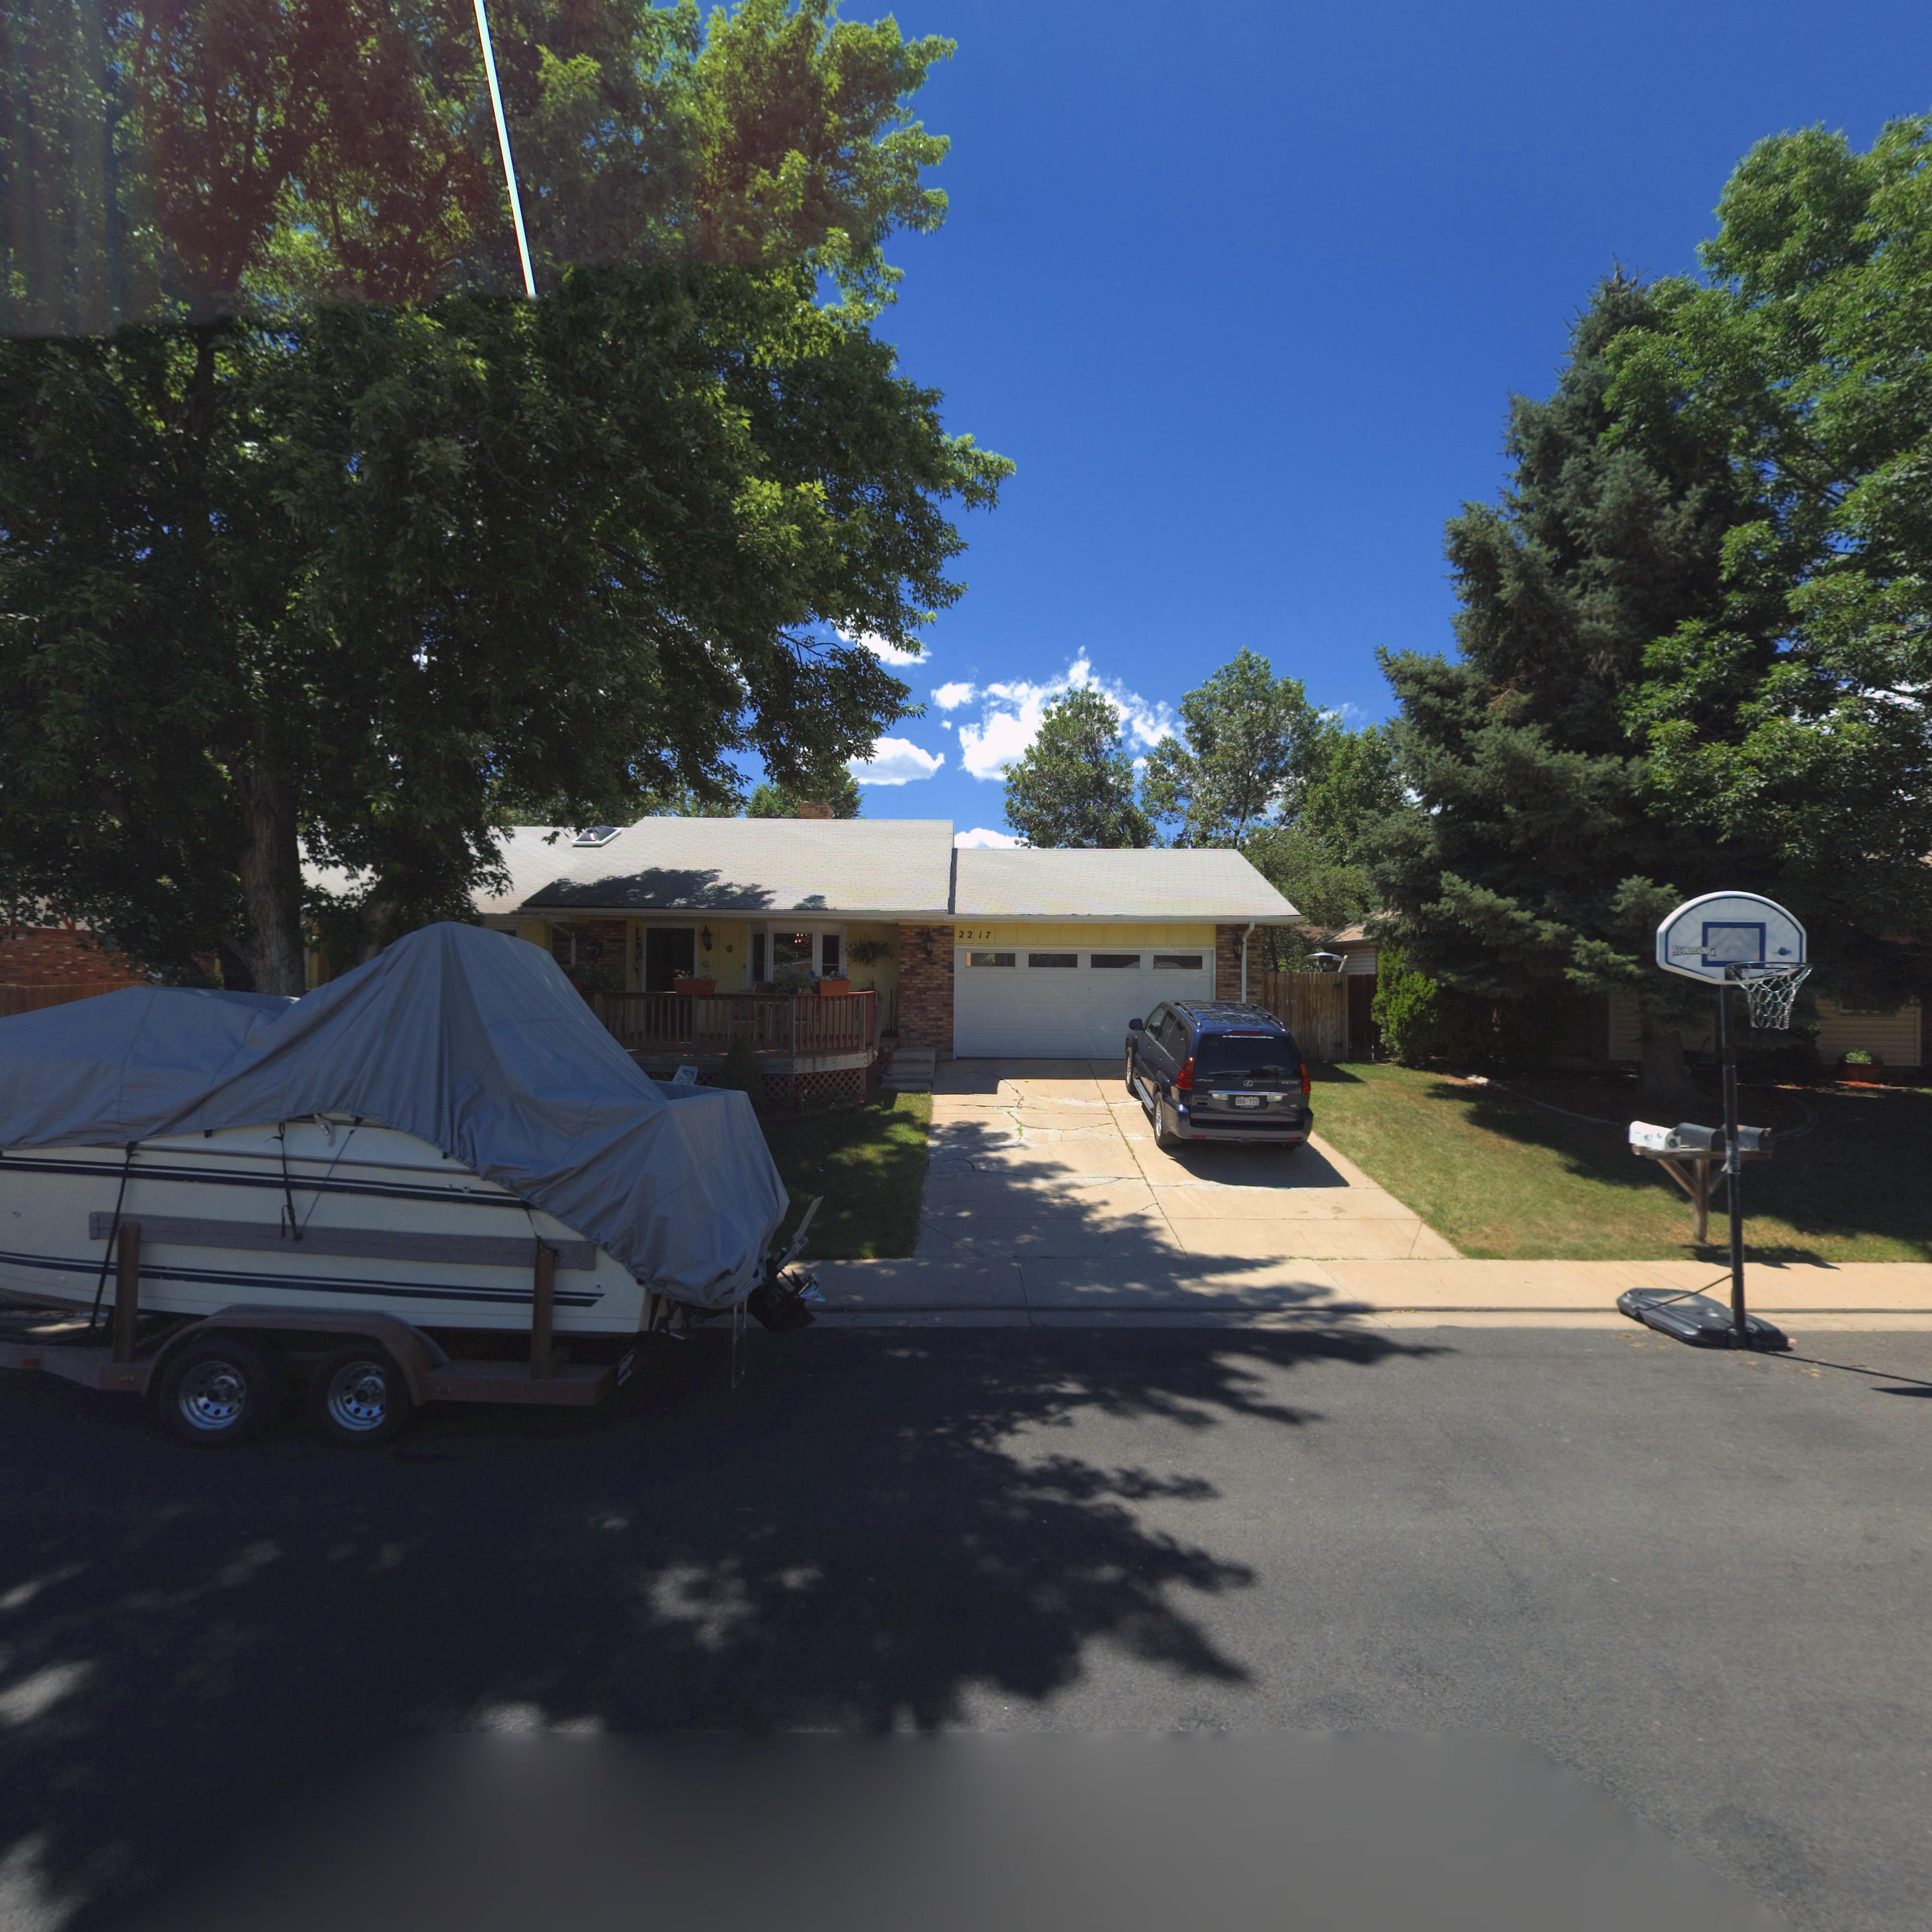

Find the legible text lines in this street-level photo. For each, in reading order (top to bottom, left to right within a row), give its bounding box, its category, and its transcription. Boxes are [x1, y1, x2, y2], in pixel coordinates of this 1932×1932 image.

[959, 930, 991, 938] StreetNumber: 2217